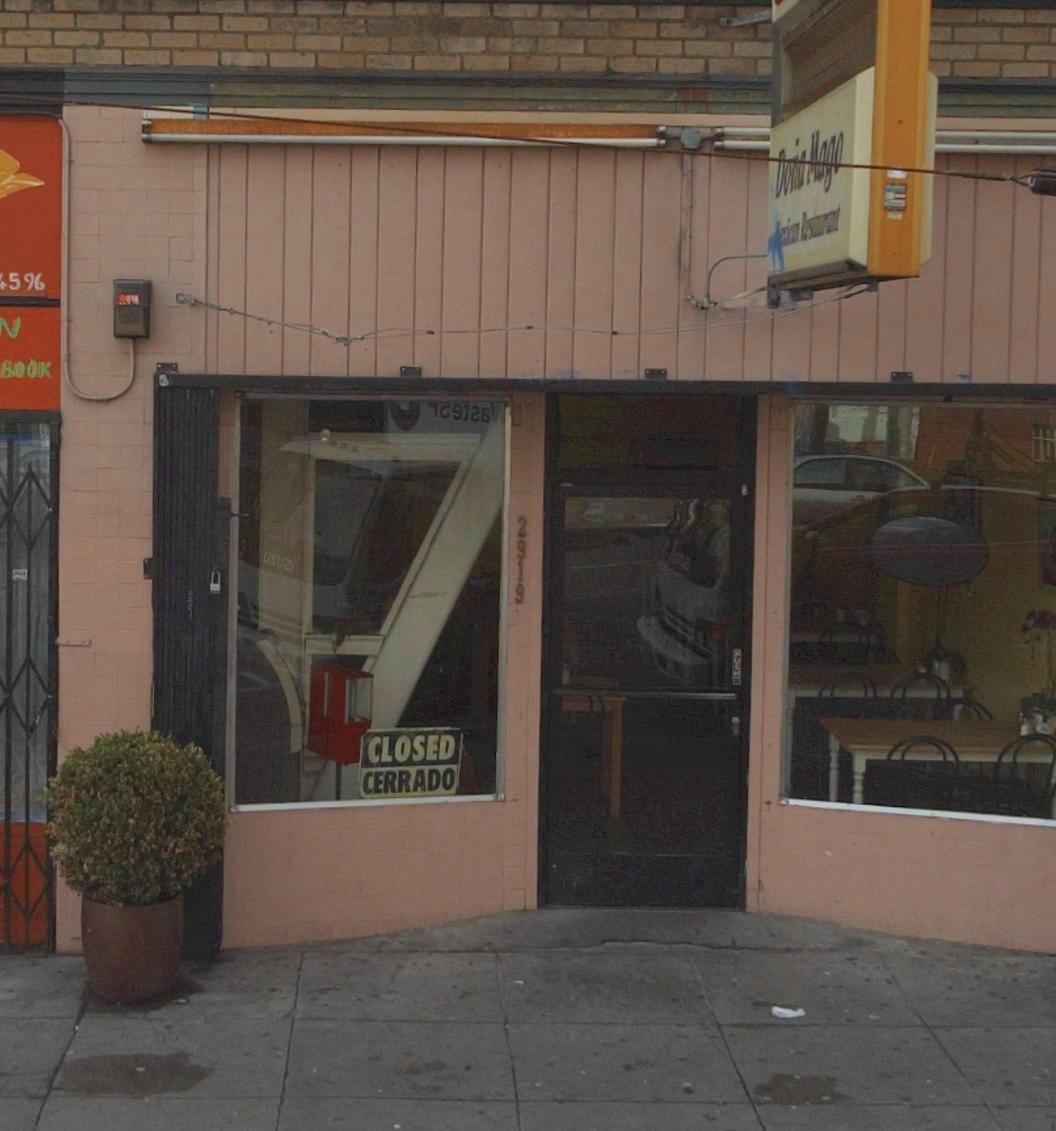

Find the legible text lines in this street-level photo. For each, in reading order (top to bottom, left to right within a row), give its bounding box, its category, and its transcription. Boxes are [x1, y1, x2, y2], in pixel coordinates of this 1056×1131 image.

[7, 270, 46, 291] None: 596
[1, 358, 54, 379] None: BOOK
[262, 549, 296, 574] None: U*U*I
[513, 514, 527, 605] StreetNumber: 2919
[367, 733, 456, 764] None: CLOSED
[362, 767, 456, 796] None: CERRADO